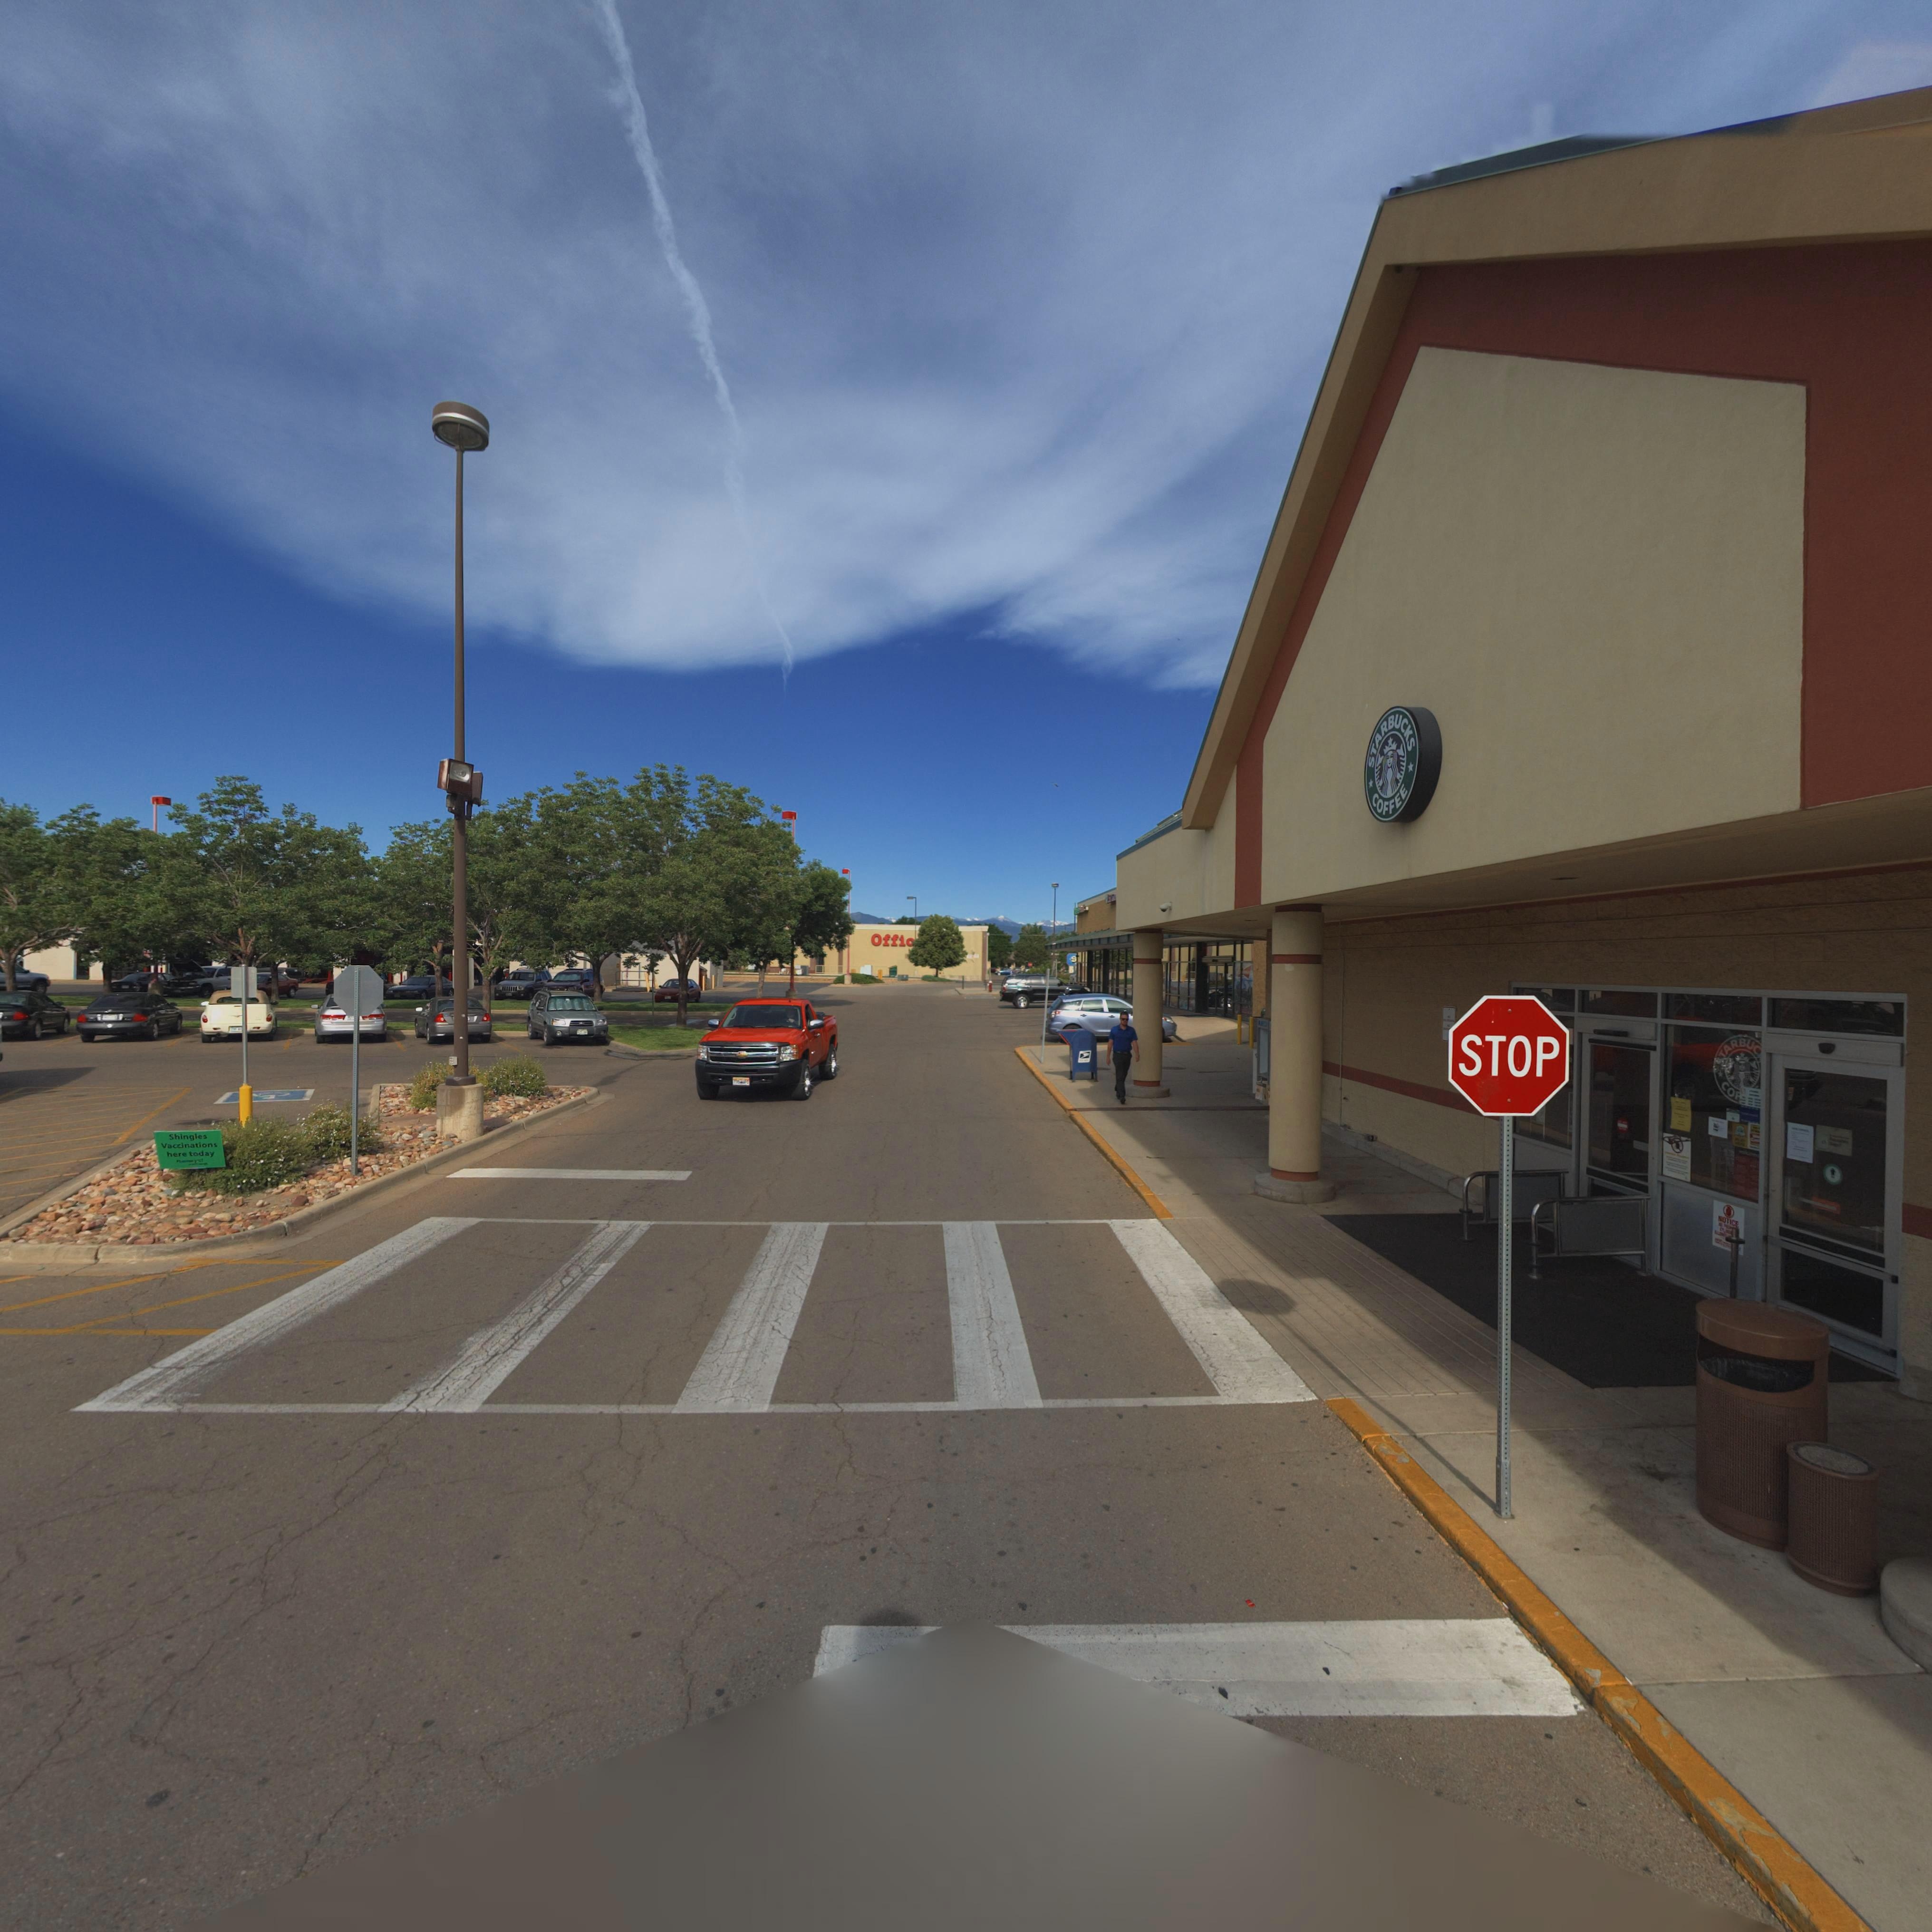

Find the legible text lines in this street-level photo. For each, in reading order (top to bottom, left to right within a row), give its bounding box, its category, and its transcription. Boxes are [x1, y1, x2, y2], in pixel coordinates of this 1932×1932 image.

[870, 933, 914, 946] BusinessName: Offi*